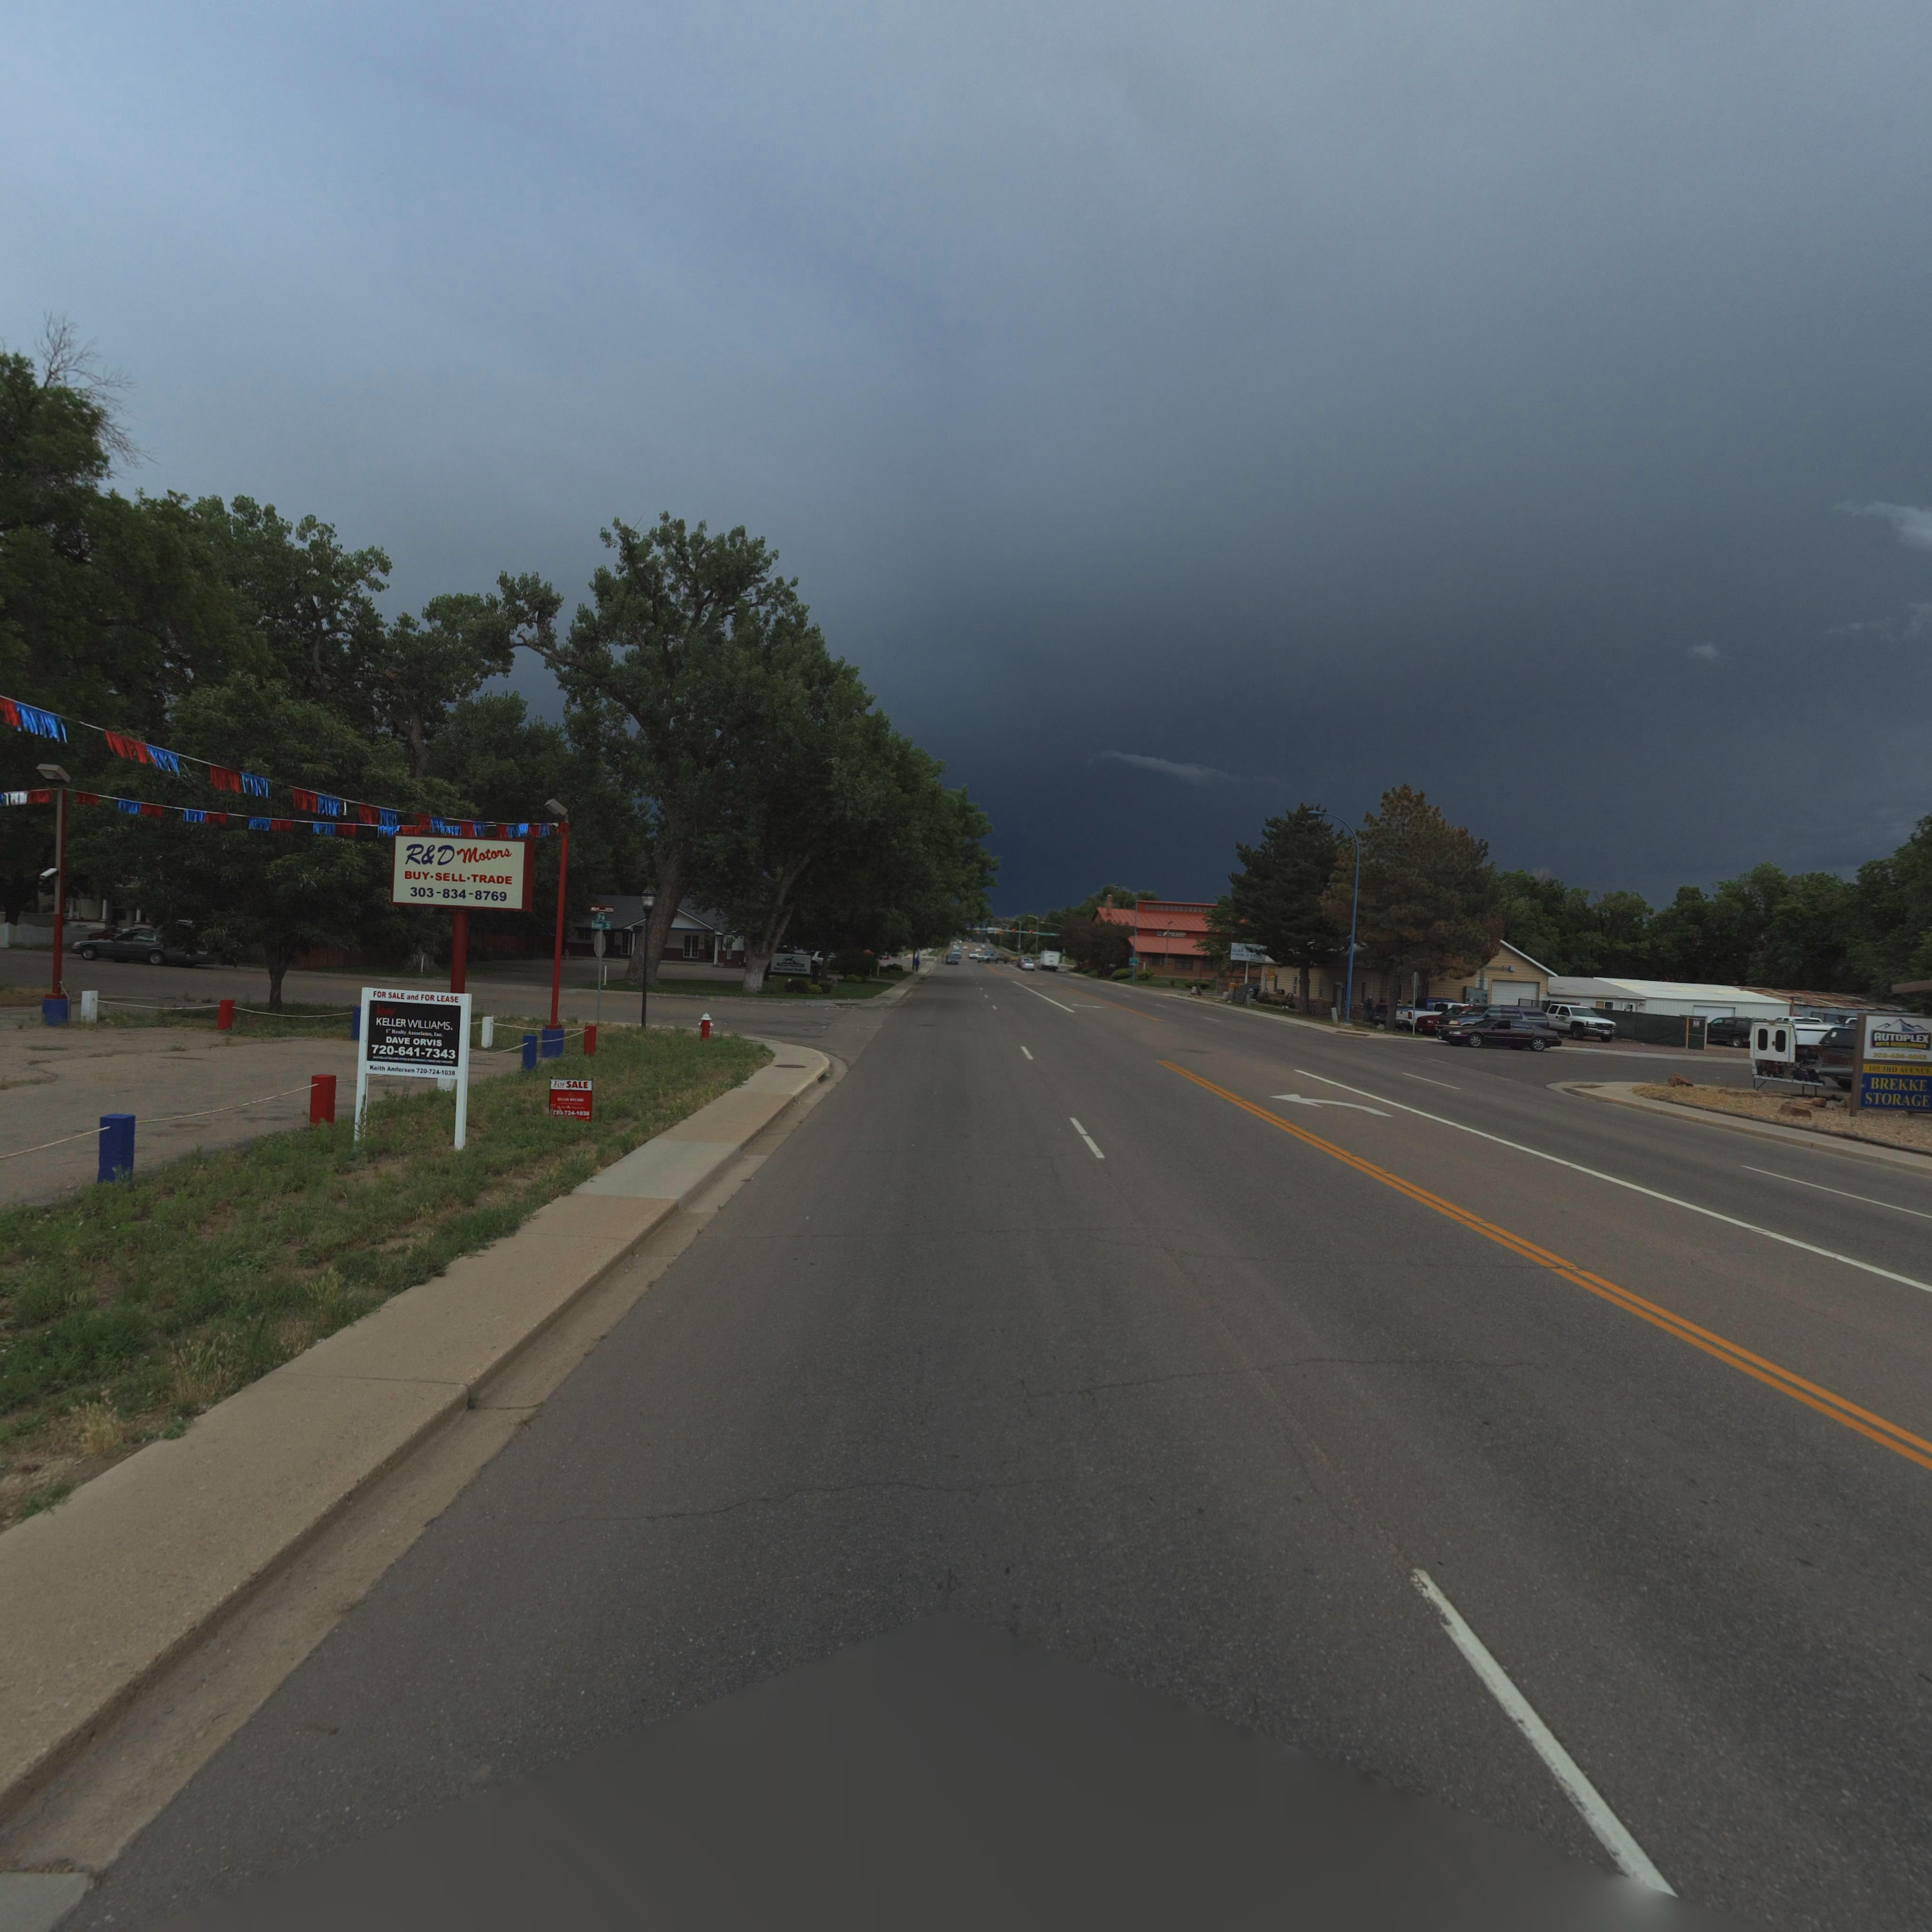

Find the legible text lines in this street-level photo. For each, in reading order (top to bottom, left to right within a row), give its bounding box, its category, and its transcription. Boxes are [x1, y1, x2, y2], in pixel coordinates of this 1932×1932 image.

[405, 842, 455, 866] BusinessName: R*D
[456, 846, 512, 863] BusinessName: Motors
[597, 913, 605, 920] StreetName: 3* Av
[591, 922, 610, 928] StreetName: Baker St
[1873, 1032, 1930, 1043] BusinessName: AUTOPLEX
[1869, 1065, 1881, 1072] StreetNumber: 1*5
[1881, 1064, 1926, 1073] StreetName: 3RD AVENU
[1870, 1076, 1928, 1092] BusinessName: BREKKE
[1864, 1092, 1930, 1107] BusinessName: STORAGE